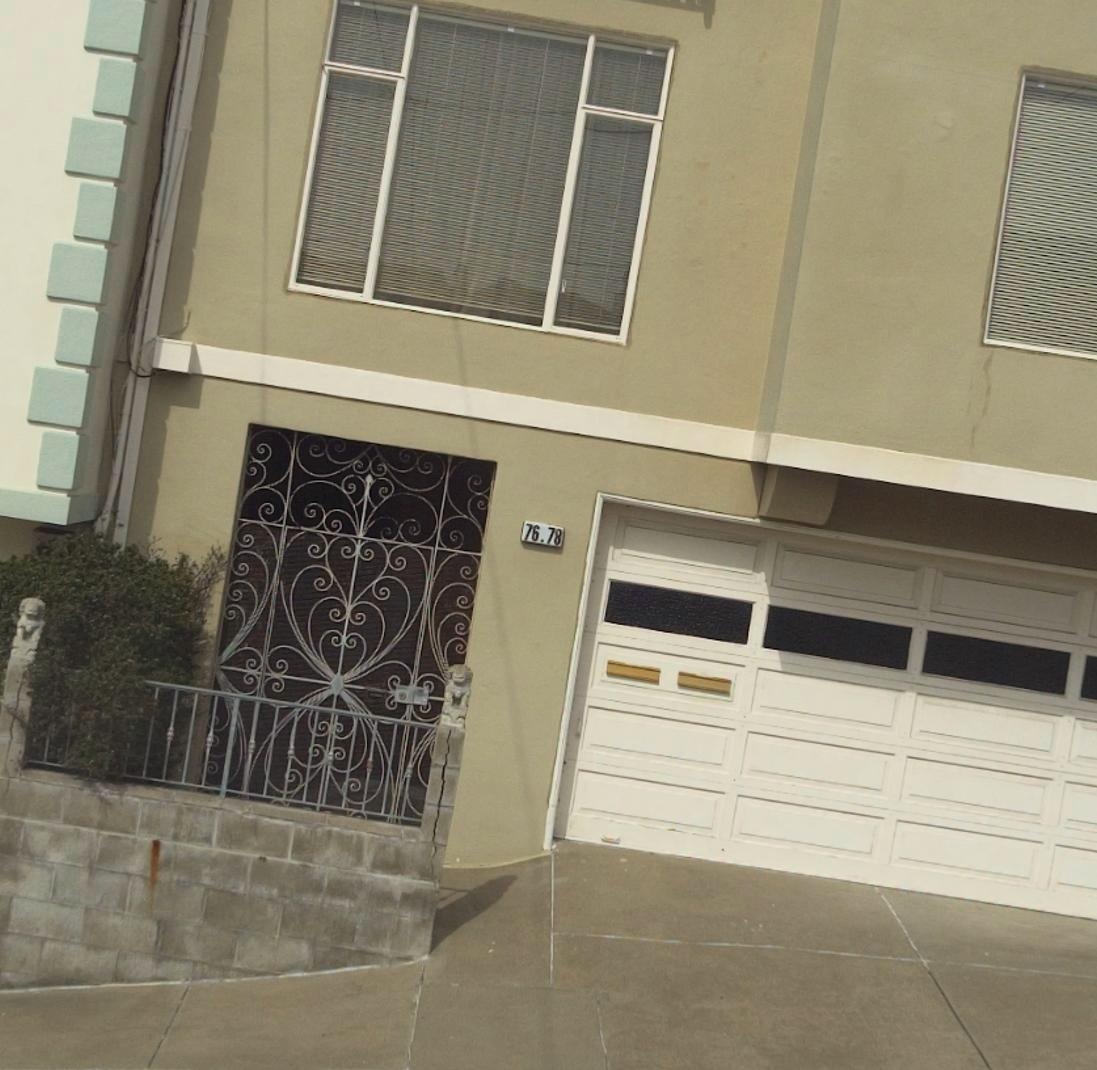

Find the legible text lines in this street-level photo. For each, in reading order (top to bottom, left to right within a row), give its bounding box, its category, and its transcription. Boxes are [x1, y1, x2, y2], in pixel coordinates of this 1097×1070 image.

[522, 522, 542, 543] StreetNumber: 76
[545, 525, 565, 547] StreetNumber: 78